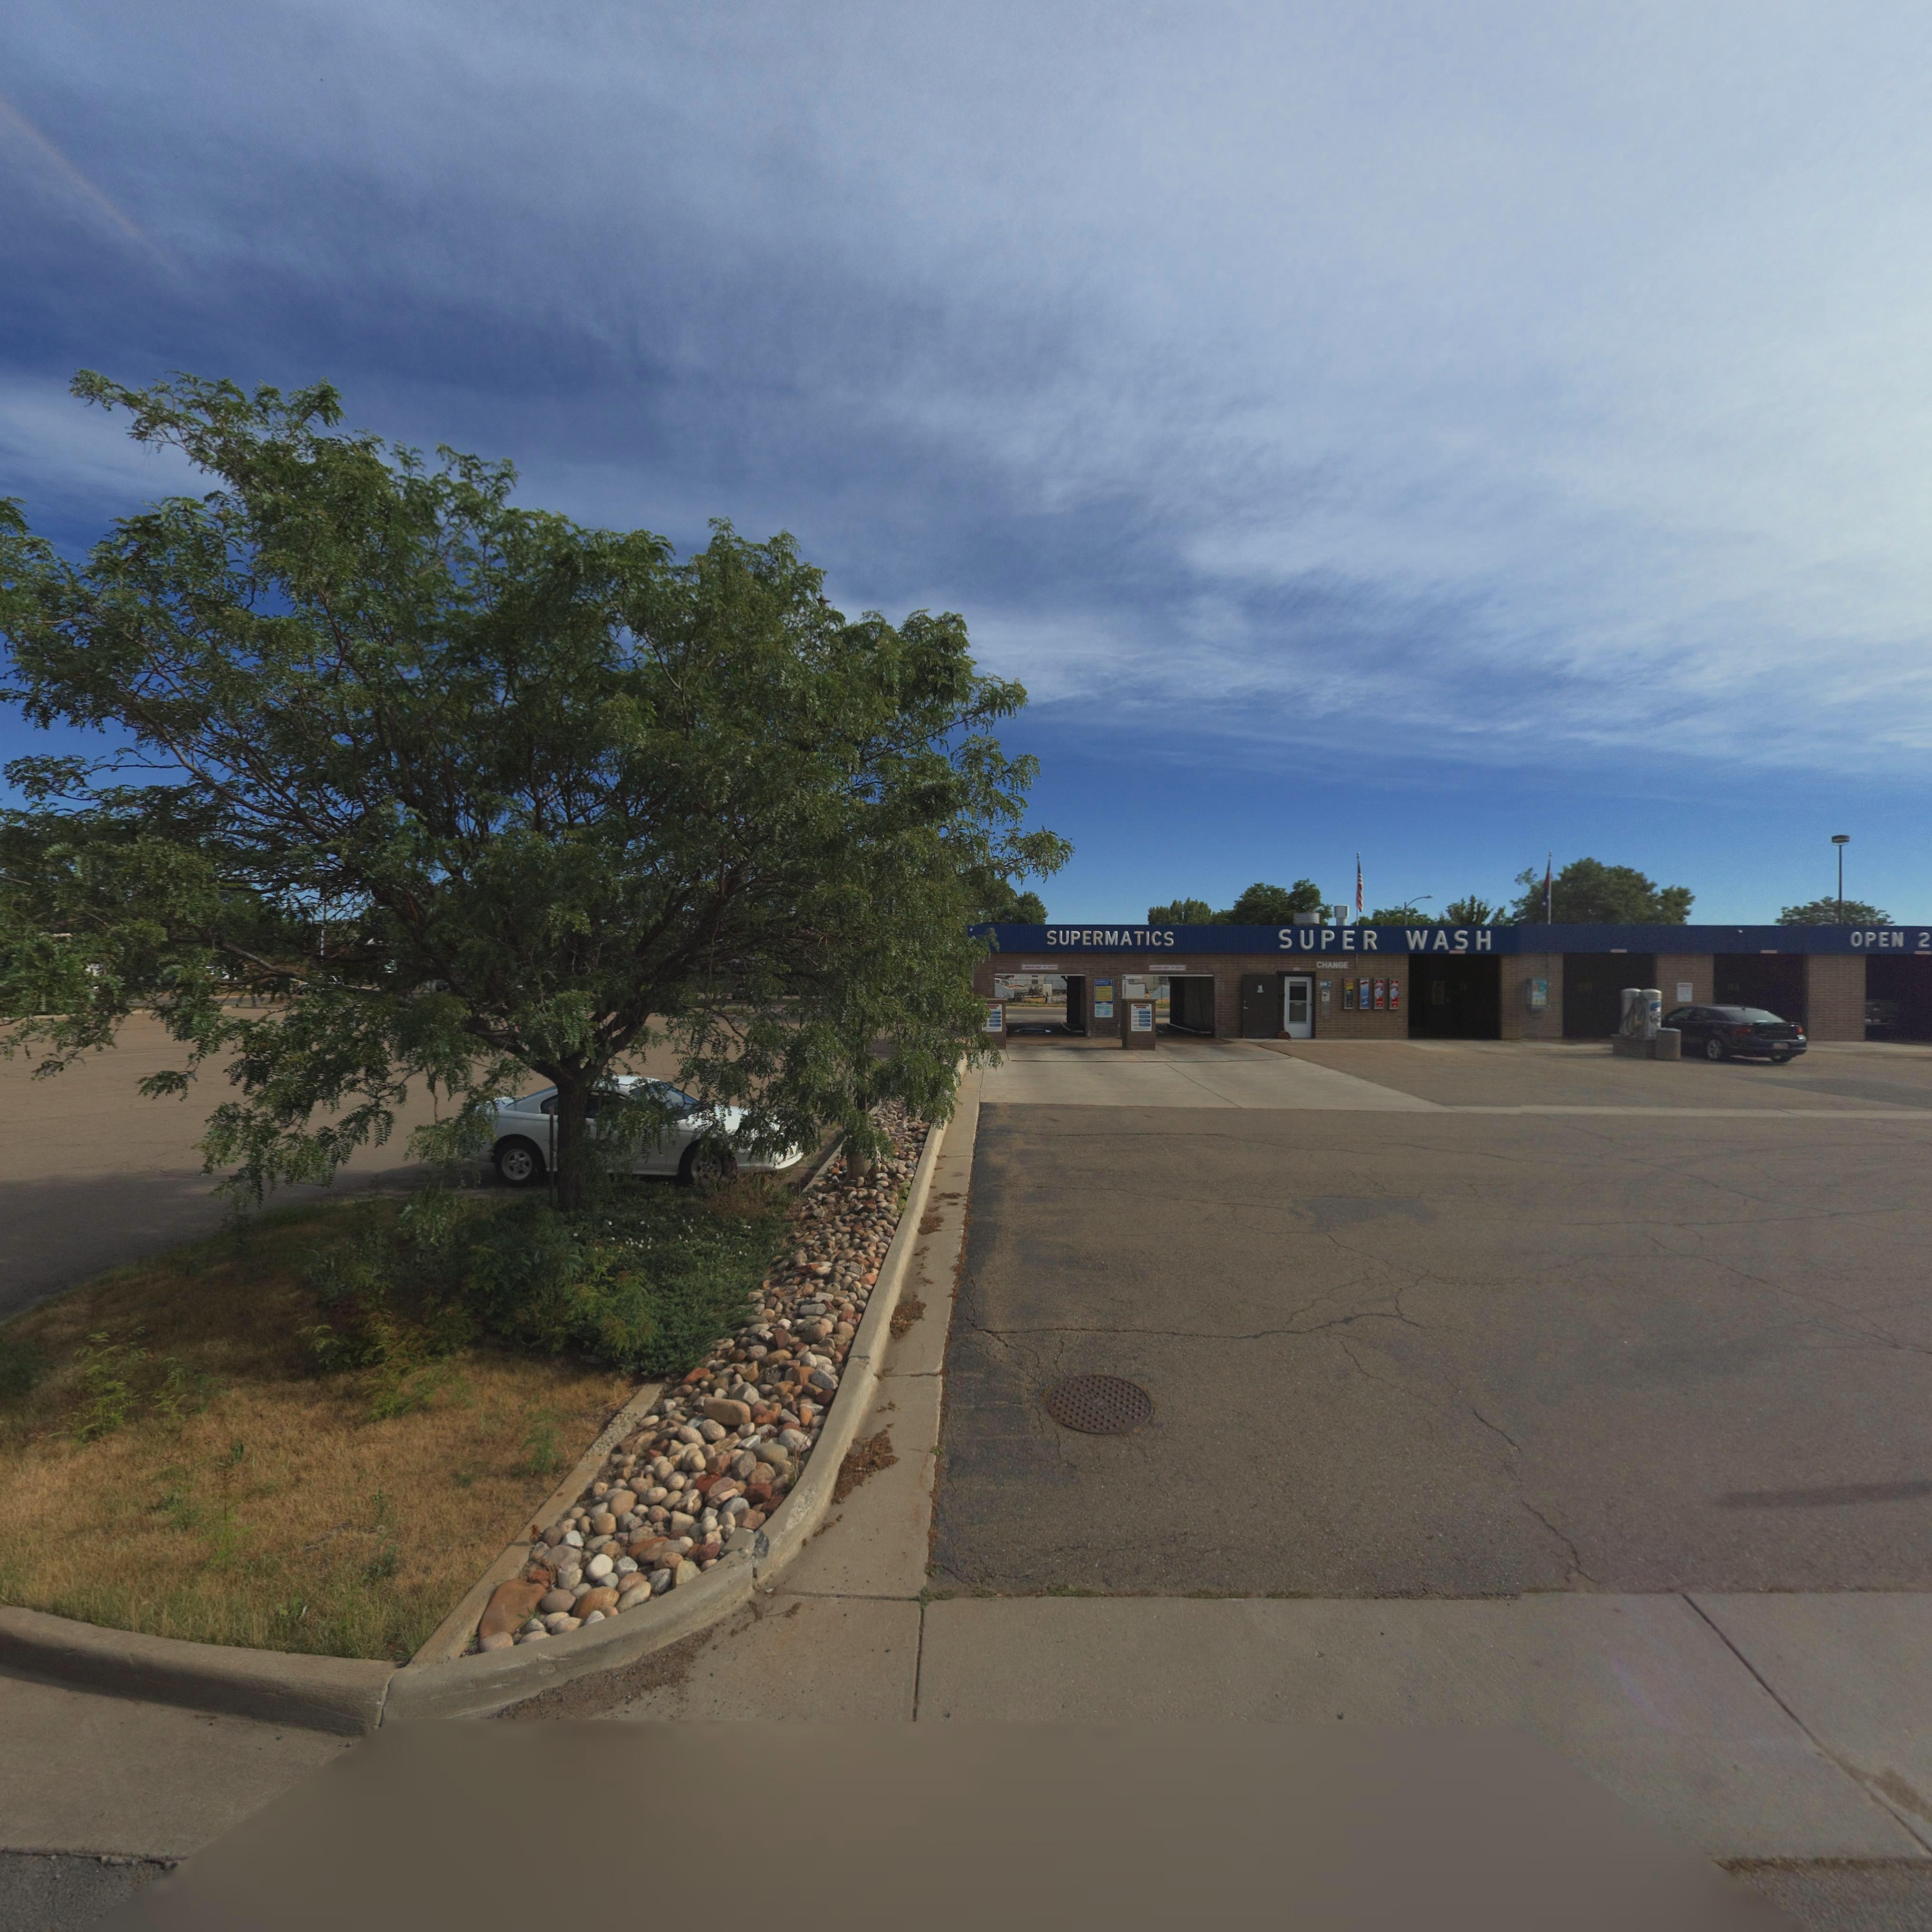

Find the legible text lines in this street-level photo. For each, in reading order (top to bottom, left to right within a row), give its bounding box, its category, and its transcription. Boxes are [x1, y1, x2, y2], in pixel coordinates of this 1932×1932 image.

[1279, 929, 1491, 951] BusinessName: SUPER WASH